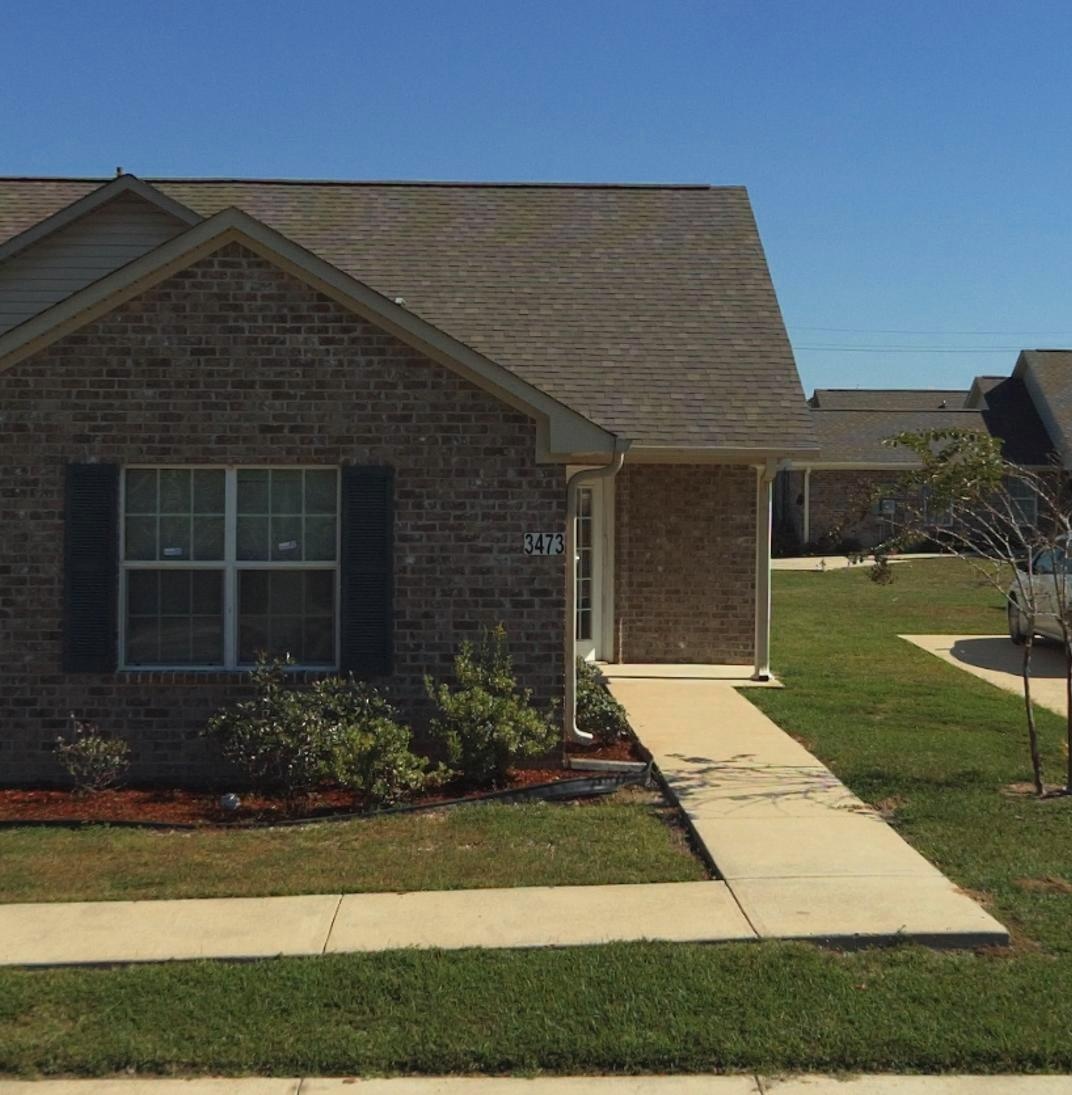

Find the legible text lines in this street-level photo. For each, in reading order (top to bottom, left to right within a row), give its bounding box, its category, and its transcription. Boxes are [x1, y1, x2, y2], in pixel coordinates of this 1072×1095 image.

[524, 533, 565, 555] StreetNumber: 3473